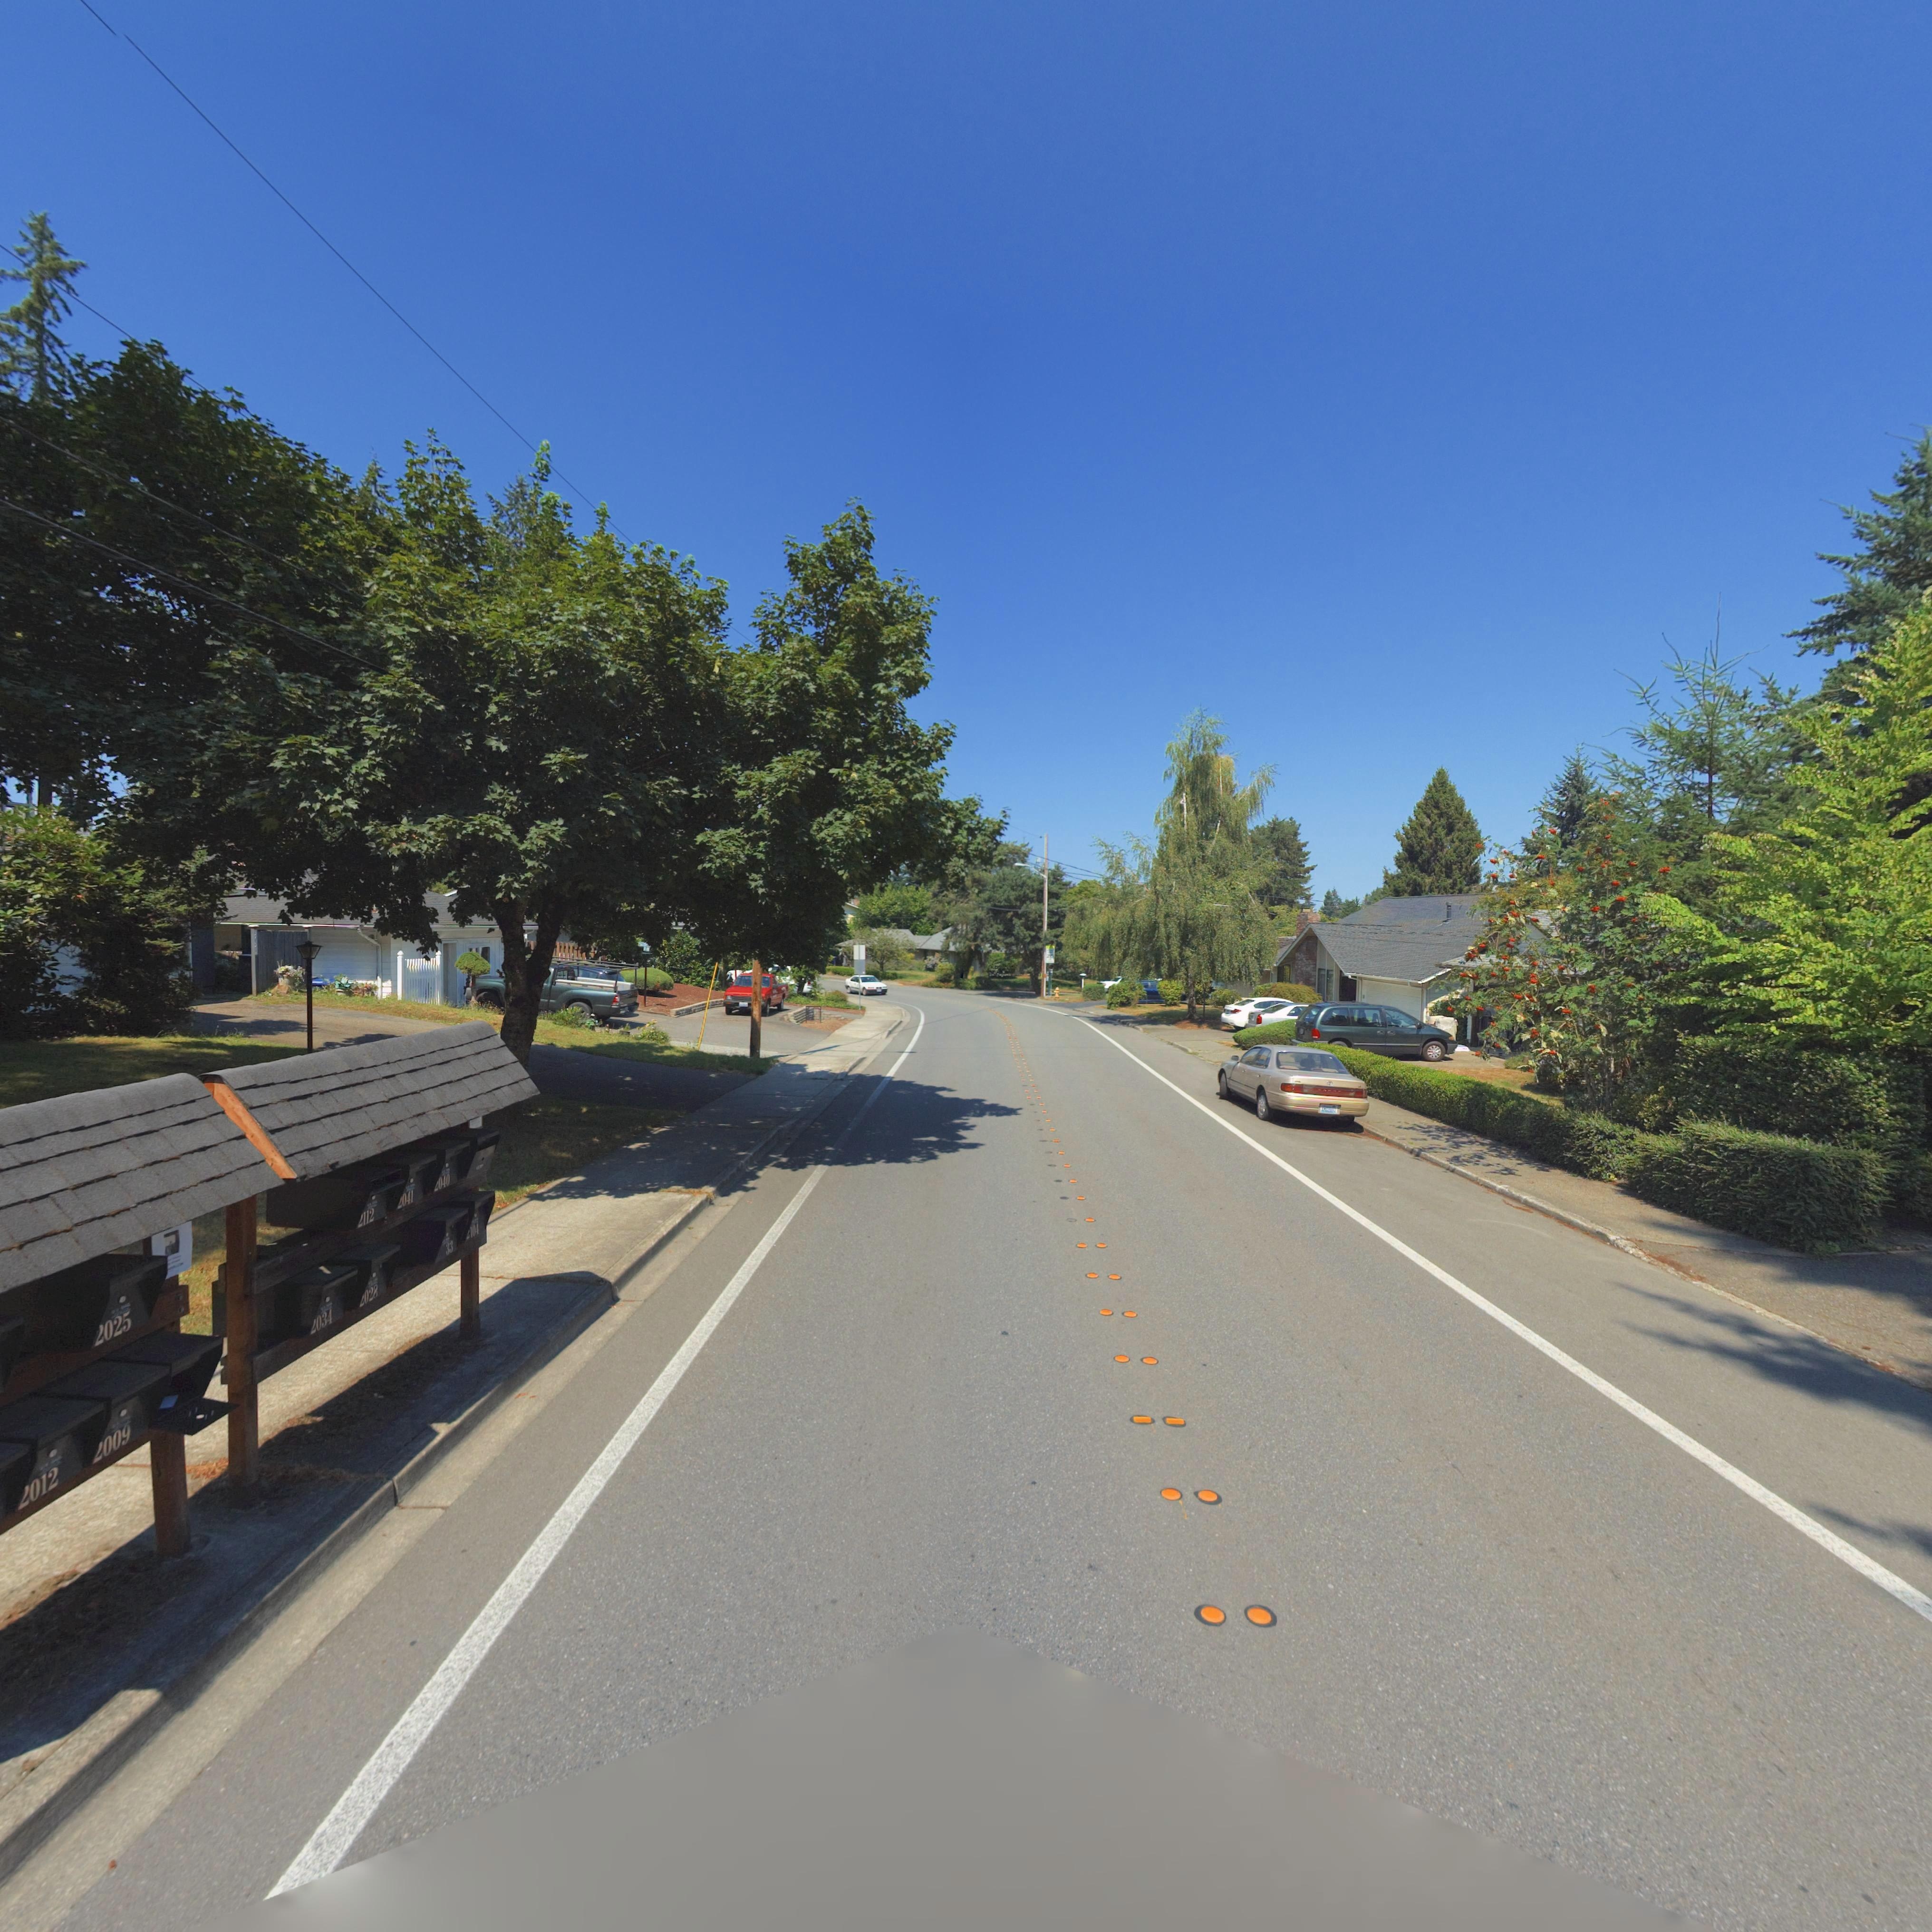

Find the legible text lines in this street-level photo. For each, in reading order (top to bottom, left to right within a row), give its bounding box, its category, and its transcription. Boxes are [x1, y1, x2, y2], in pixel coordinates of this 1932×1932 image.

[432, 1171, 451, 1194] StreetNumber: 2040
[395, 1188, 414, 1211] StreetNumber: 2041
[464, 1220, 481, 1242] StreetNumber: 2104